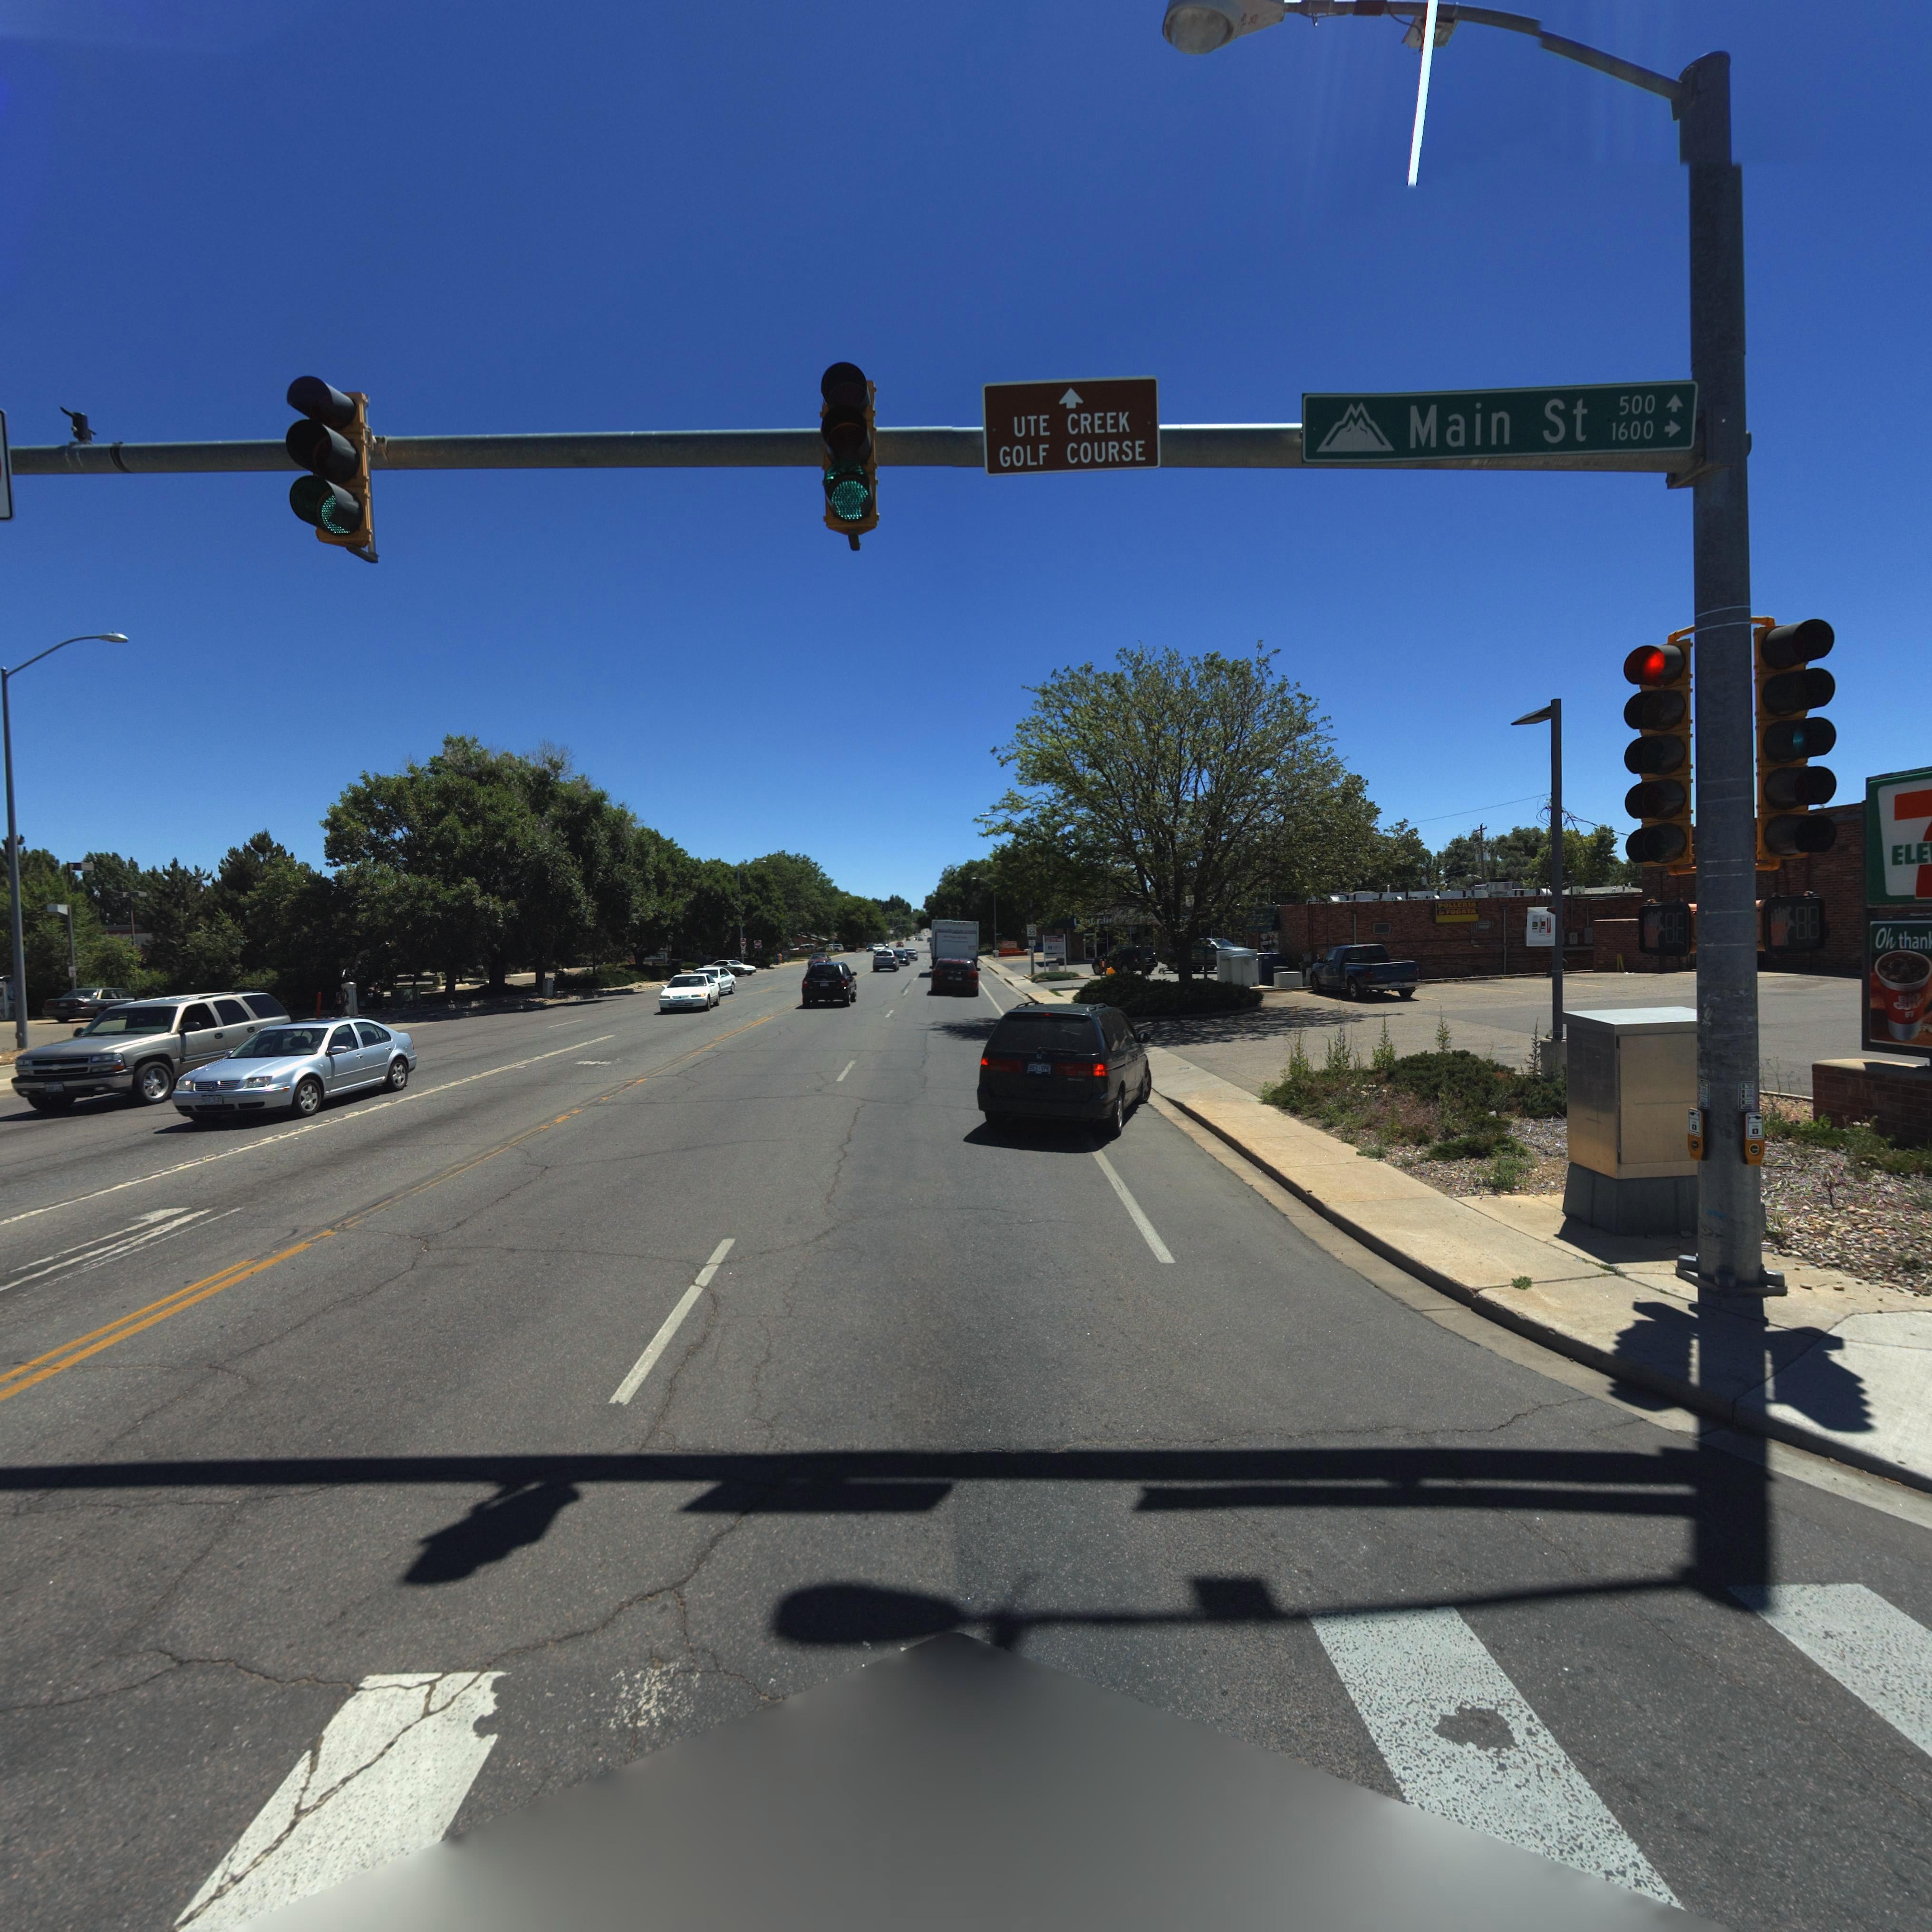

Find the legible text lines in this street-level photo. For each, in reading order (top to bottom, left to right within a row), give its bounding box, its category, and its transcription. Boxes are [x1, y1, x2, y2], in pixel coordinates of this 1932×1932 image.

[1618, 393, 1656, 415] StreetNumberRange: 500 
[1408, 396, 1590, 449] BusinessName: Main St
[1611, 417, 1683, 442] StreetNumberRange: 1600->
[1437, 908, 1476, 915] None: la FOGATA
[1437, 901, 1477, 908] BusinessName: POLLERIA